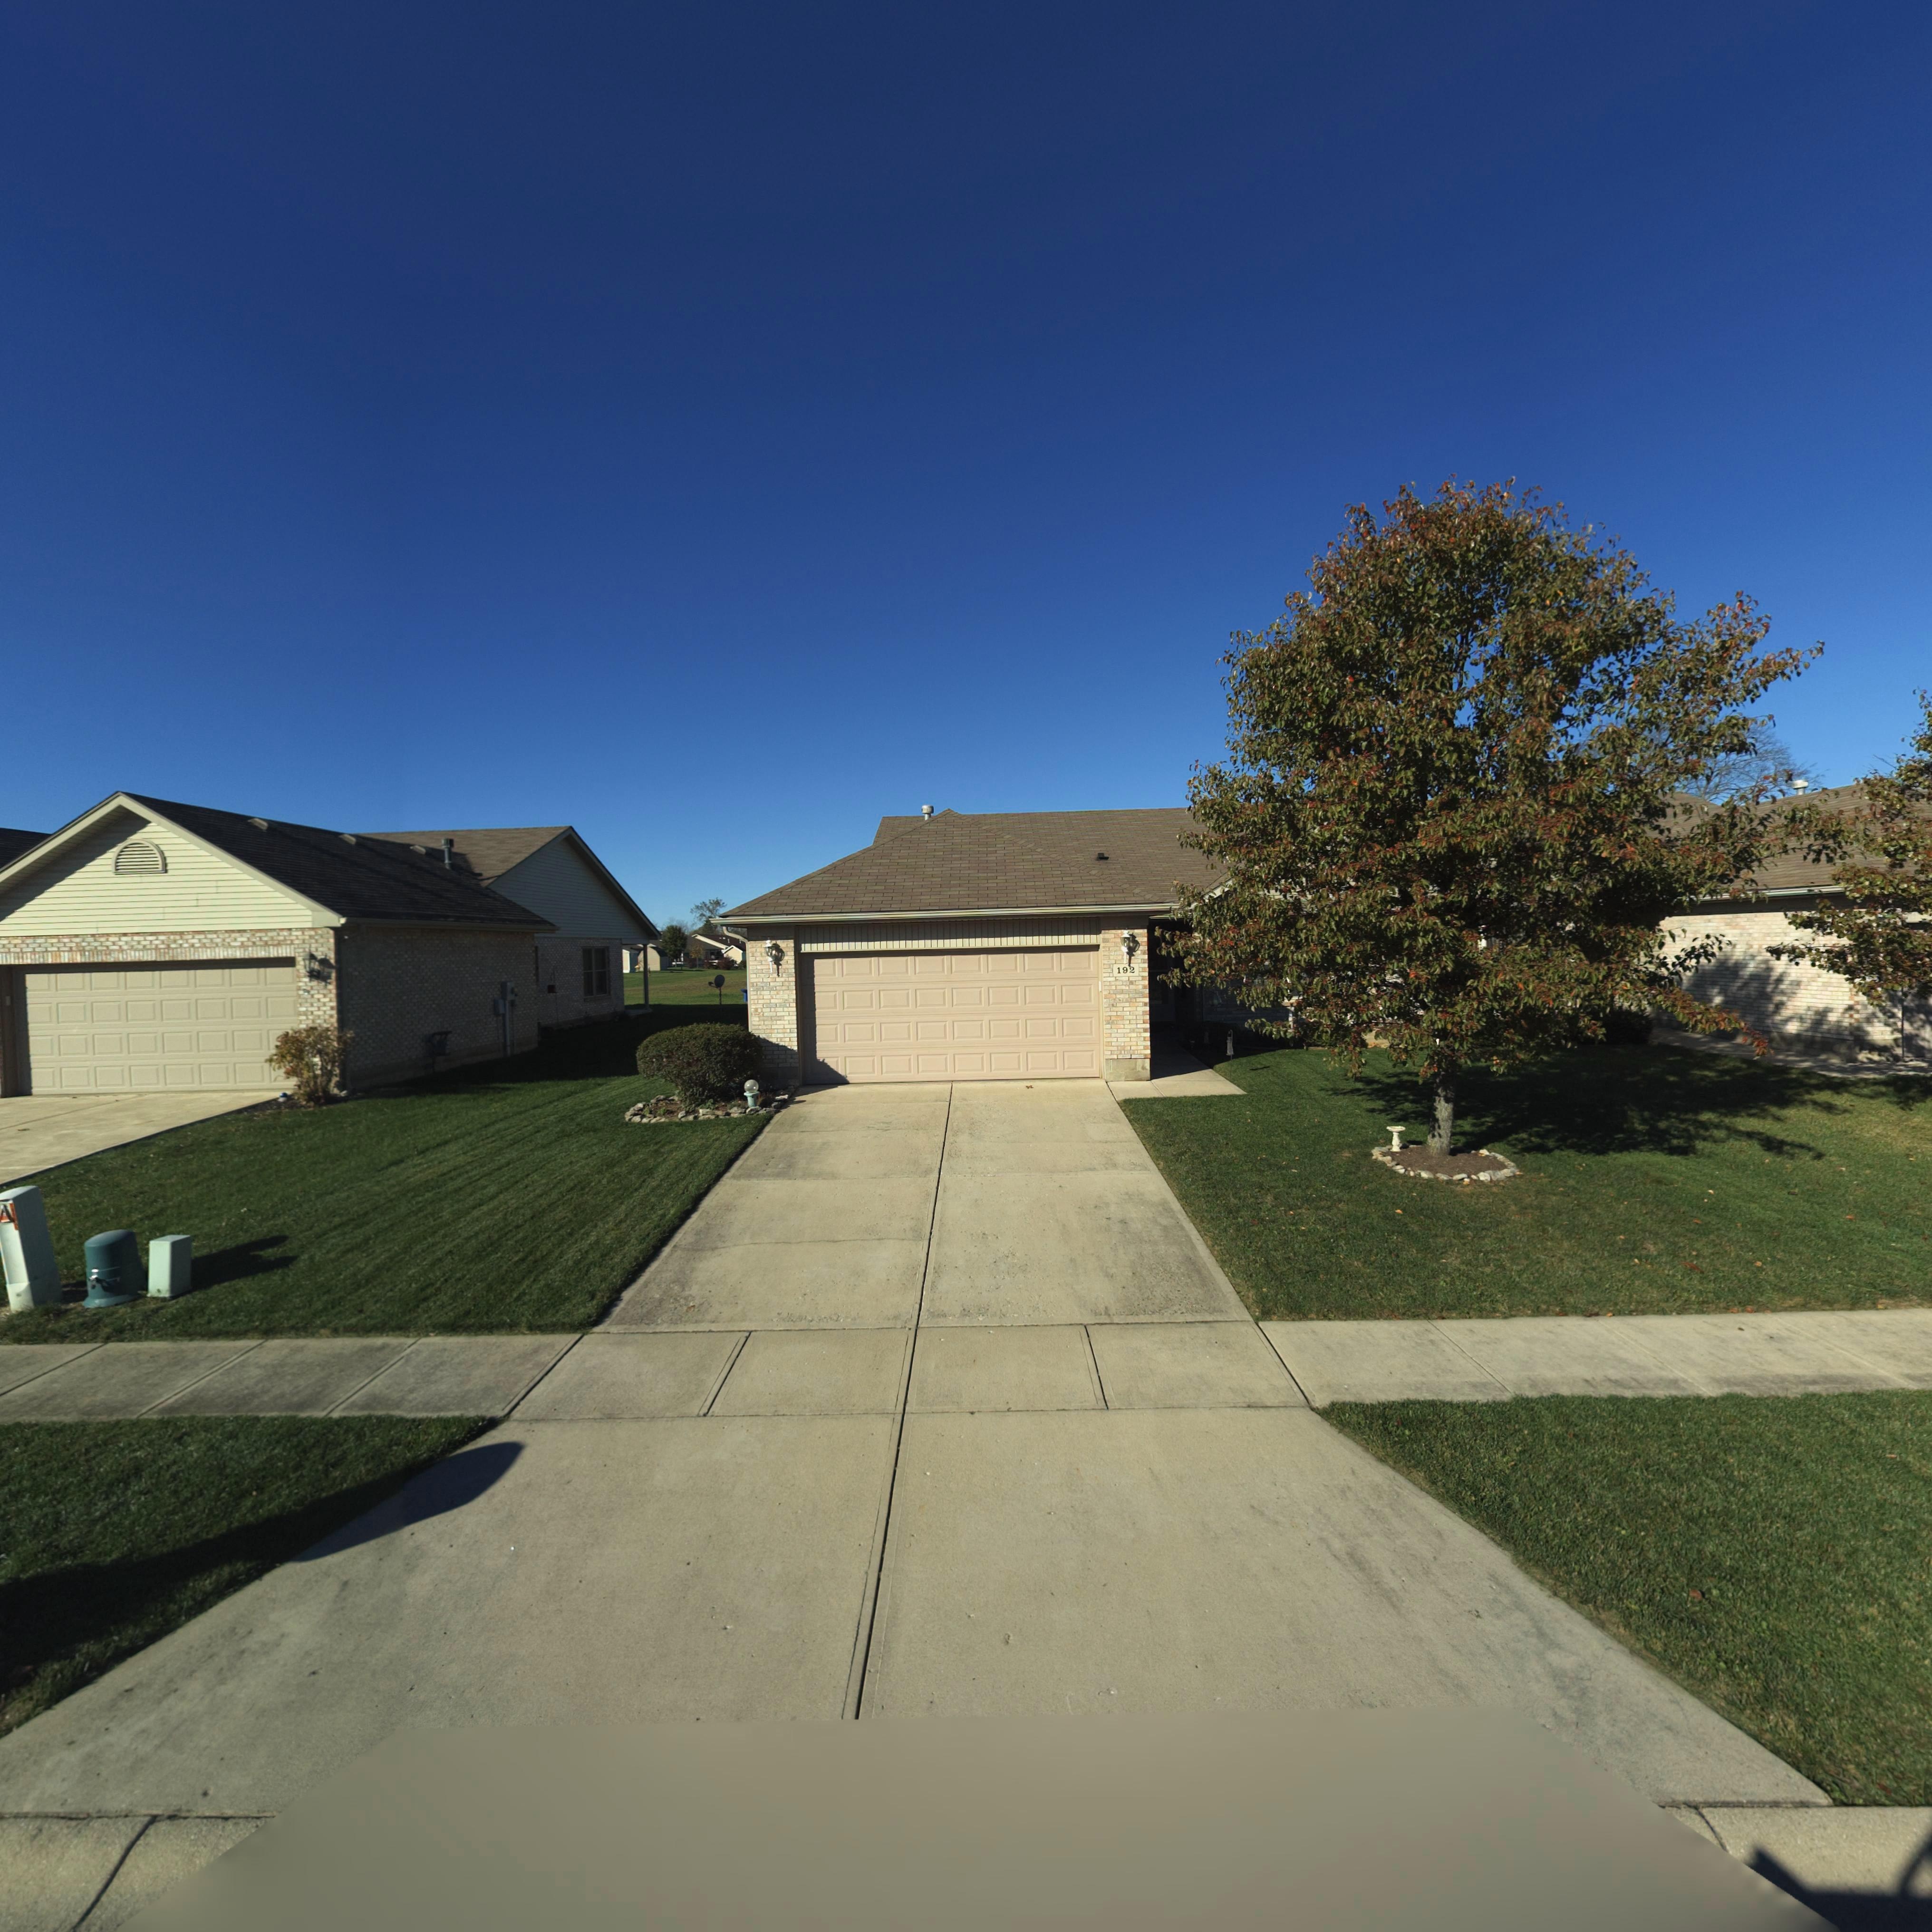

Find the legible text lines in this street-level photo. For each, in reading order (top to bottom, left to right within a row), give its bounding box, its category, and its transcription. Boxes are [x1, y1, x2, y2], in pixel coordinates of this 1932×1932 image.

[1116, 966, 1136, 975] StreetNumber: 192